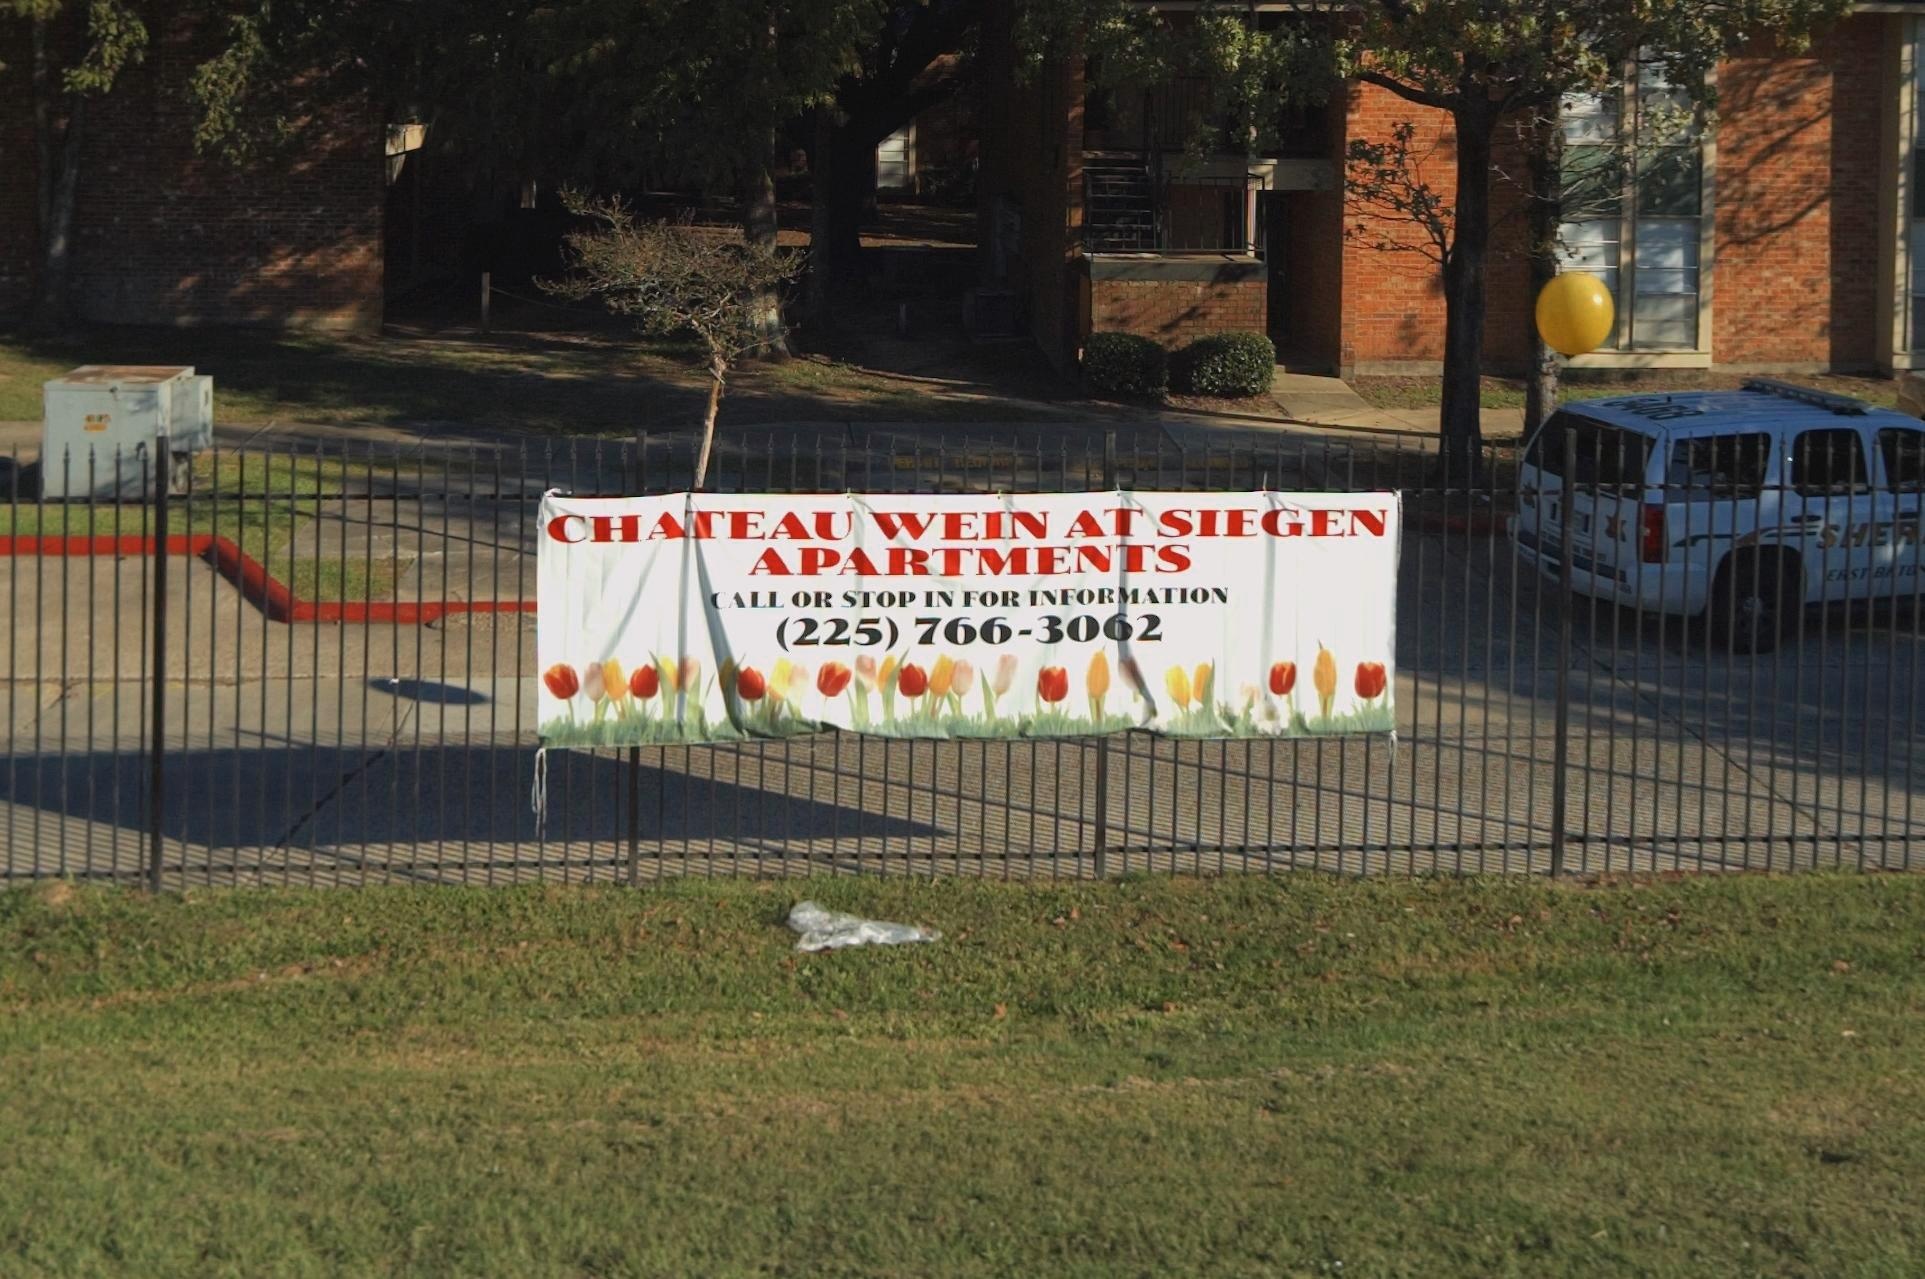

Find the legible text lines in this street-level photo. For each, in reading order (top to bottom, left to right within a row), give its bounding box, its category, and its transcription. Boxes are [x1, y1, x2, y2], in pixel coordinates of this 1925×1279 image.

[546, 507, 1390, 545] BusinessName: CHATEAU WEIN AT SIEGEN
[1815, 519, 1917, 550] None: SHER
[746, 543, 1192, 577] BusinessName: APARTMENTS
[1826, 563, 1916, 582] None: EAST B*TO
[708, 587, 1231, 611] None: CALL OR STOP IN FOR INFORMATION
[774, 612, 1164, 654] None: (225) 766-3062